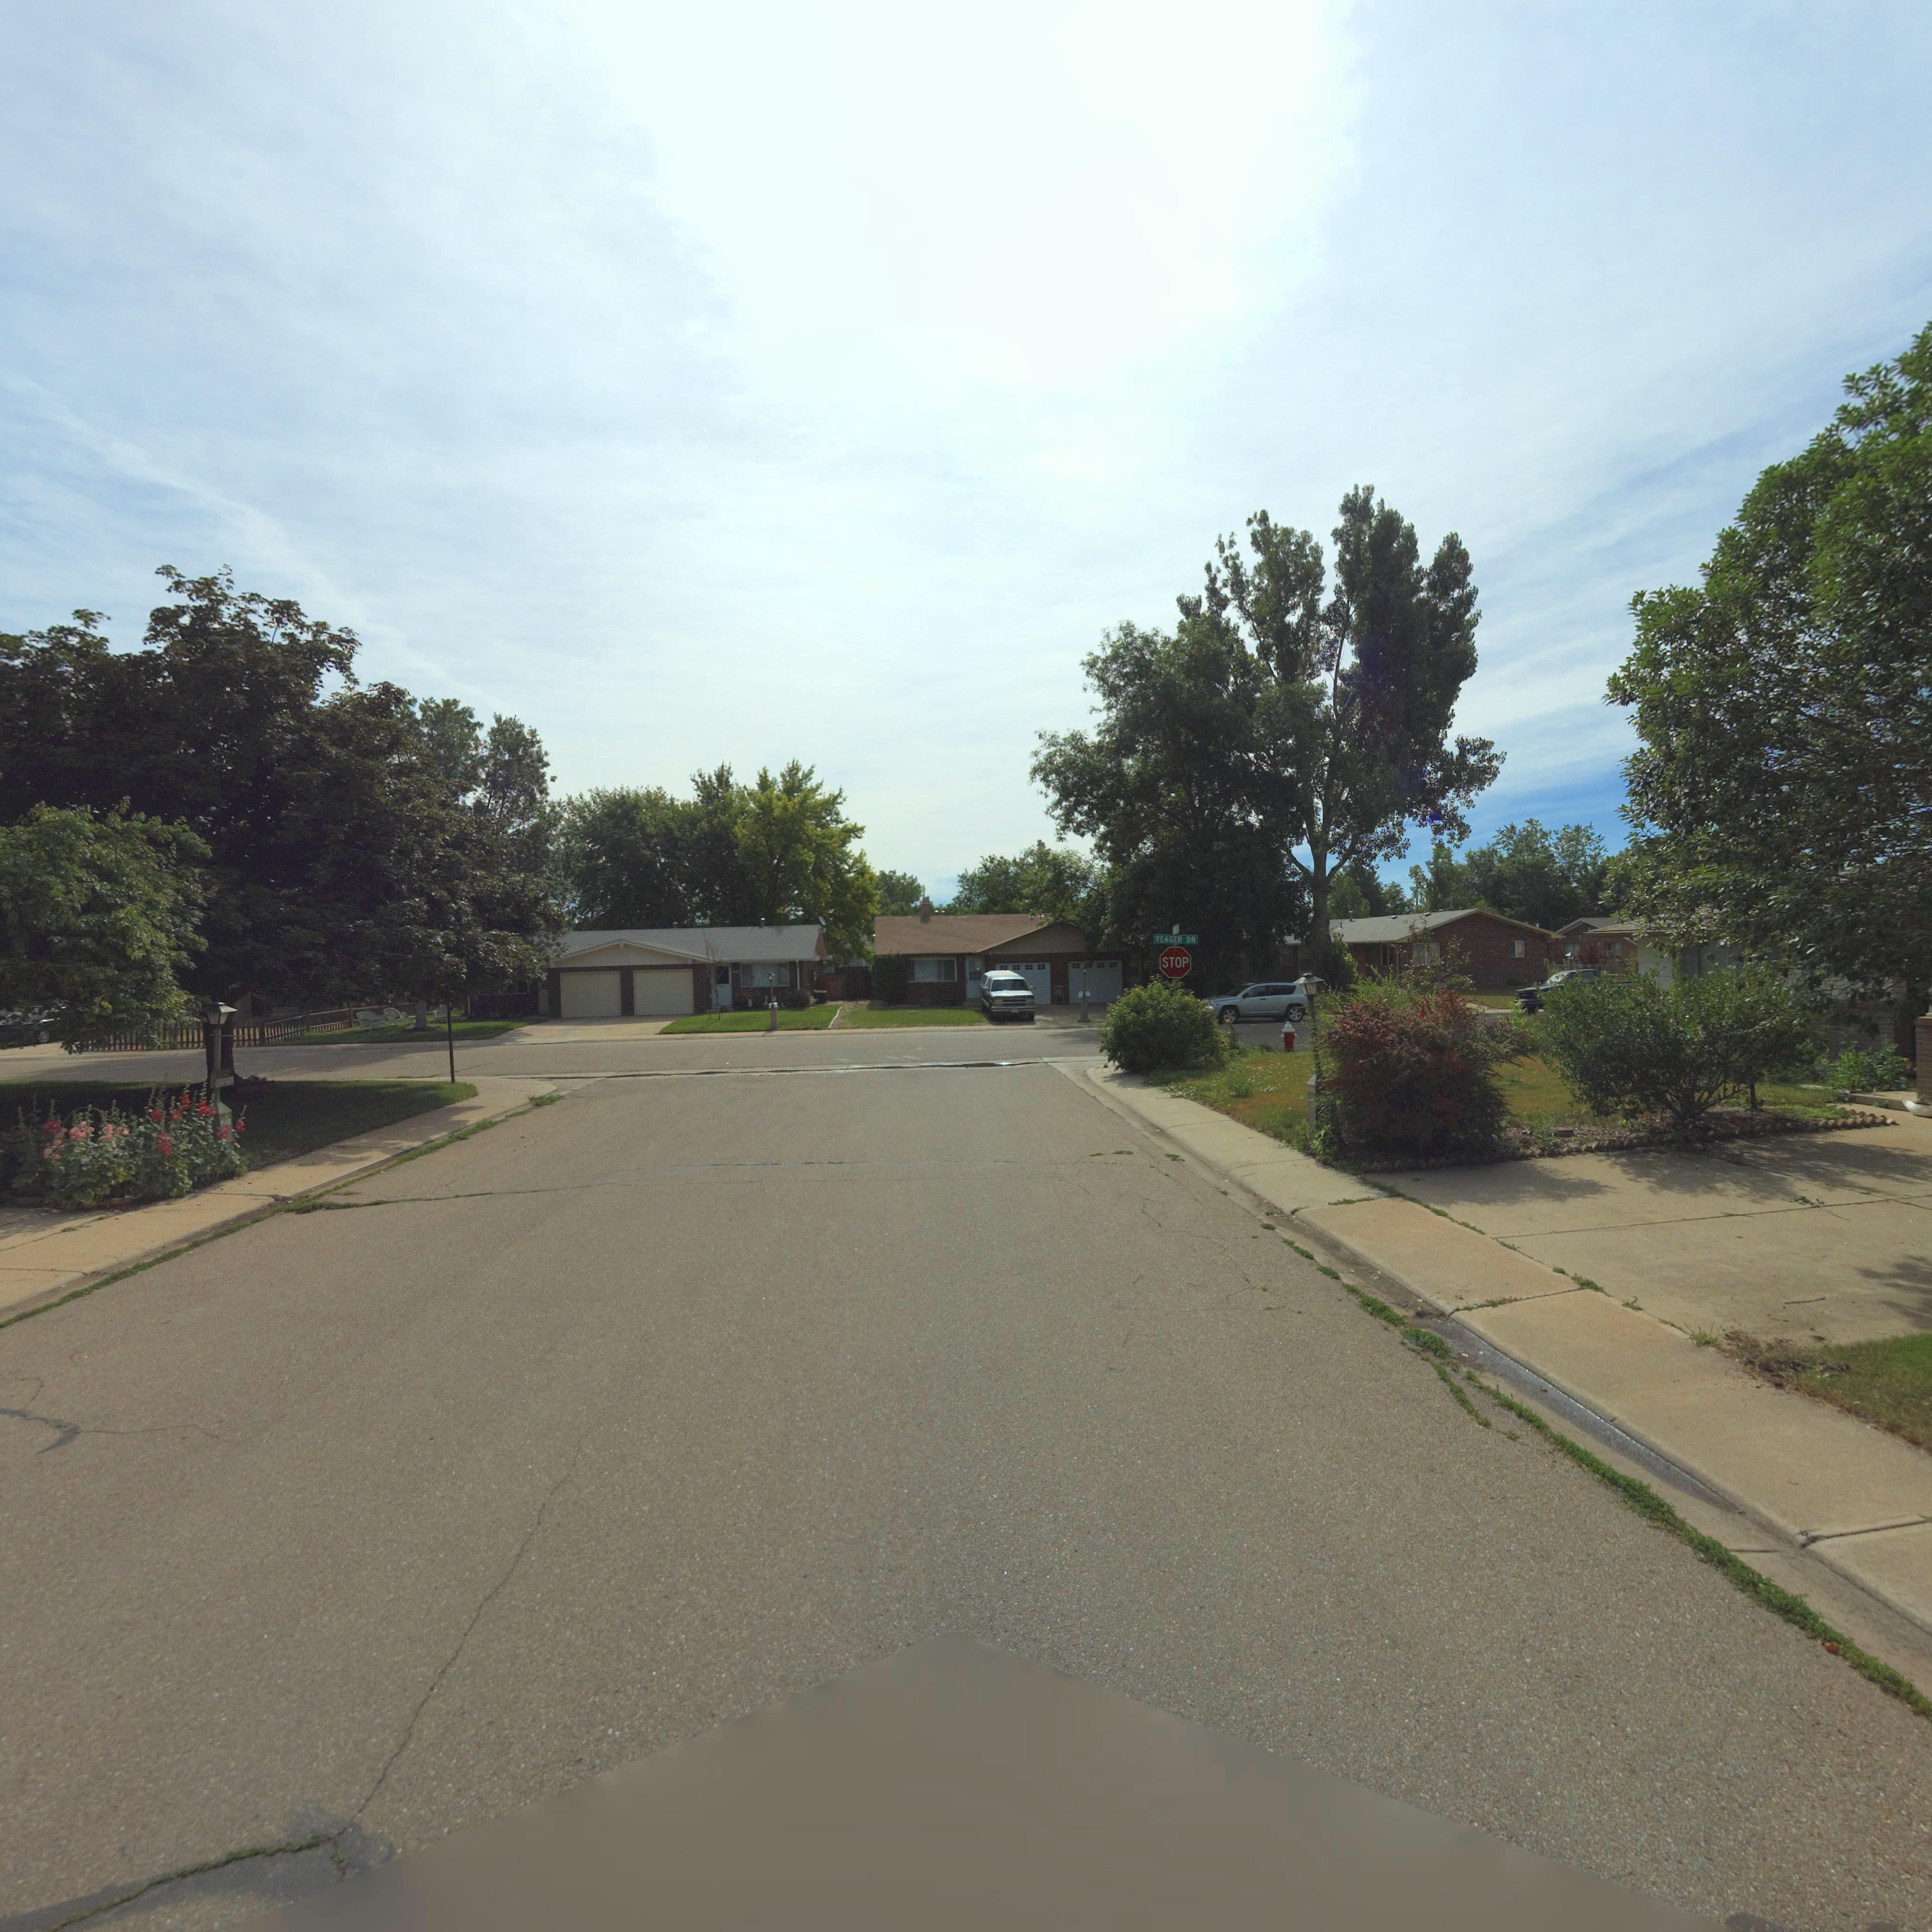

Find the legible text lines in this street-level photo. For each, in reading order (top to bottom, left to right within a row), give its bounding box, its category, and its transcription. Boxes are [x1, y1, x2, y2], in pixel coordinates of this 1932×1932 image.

[1155, 935, 1196, 943] StreetName: YEAGER DR